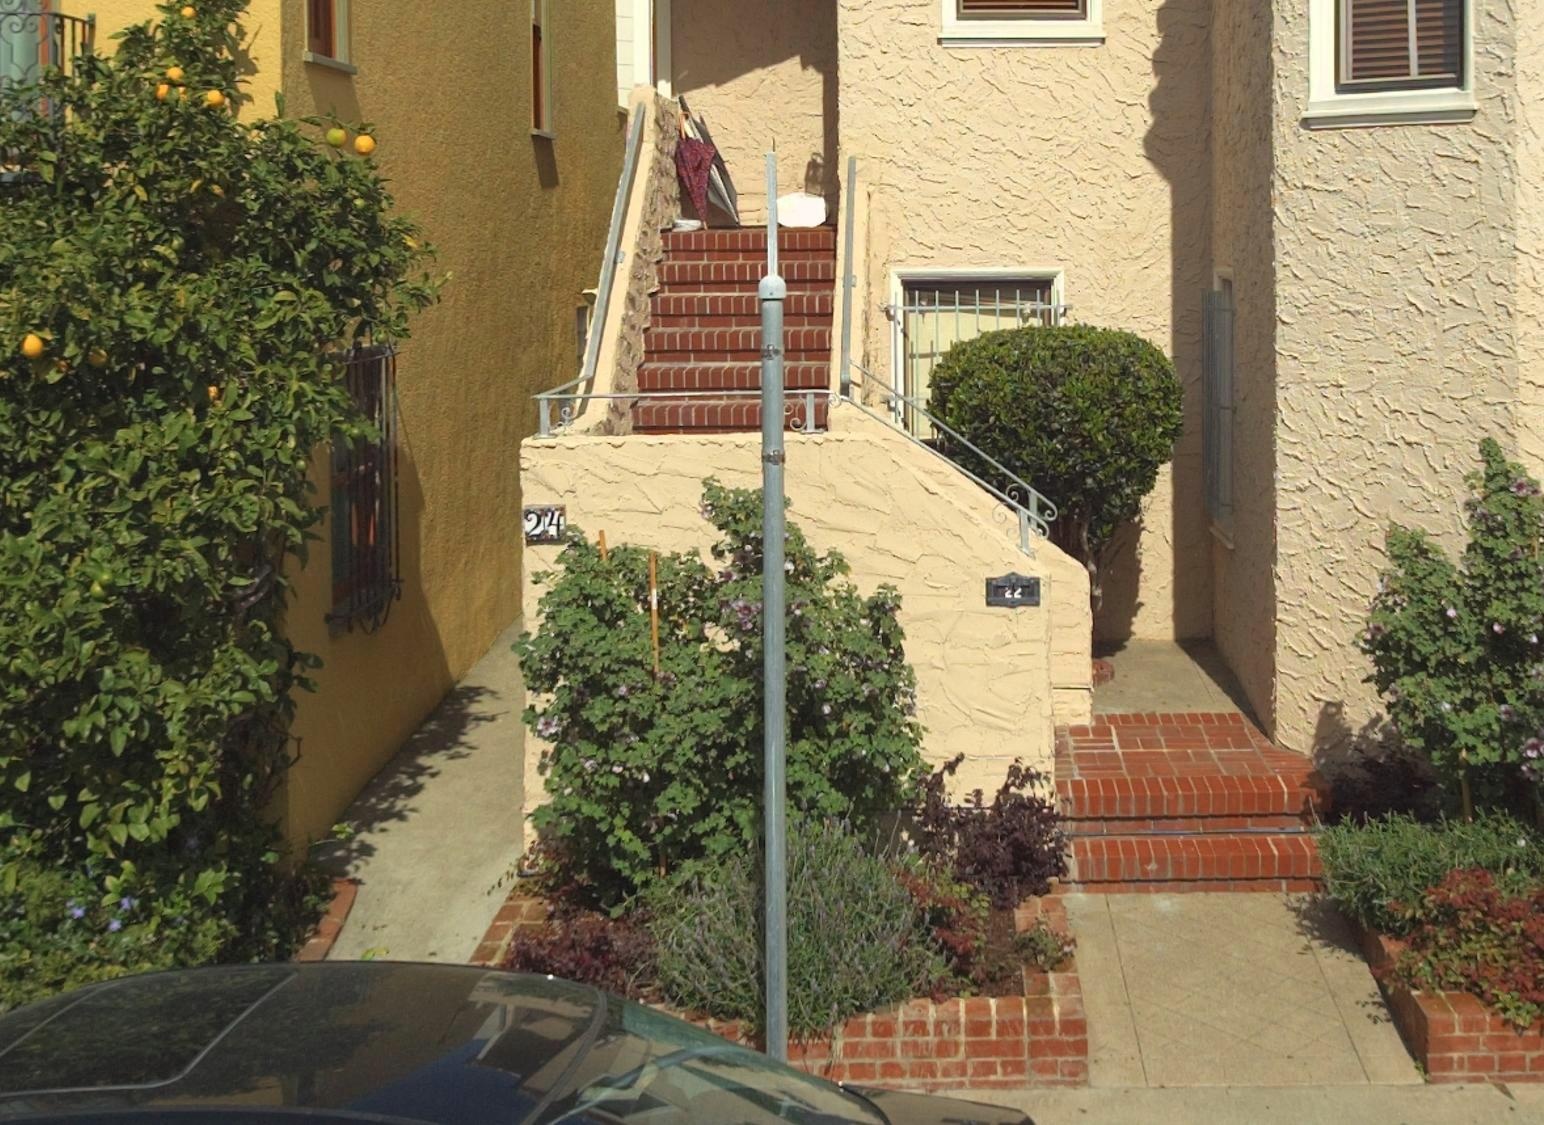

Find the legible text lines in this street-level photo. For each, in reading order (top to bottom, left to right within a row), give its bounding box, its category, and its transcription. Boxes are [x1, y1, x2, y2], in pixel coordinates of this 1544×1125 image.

[523, 509, 564, 539] StreetNumber: 24
[1002, 584, 1024, 601] StreetNumber: 22